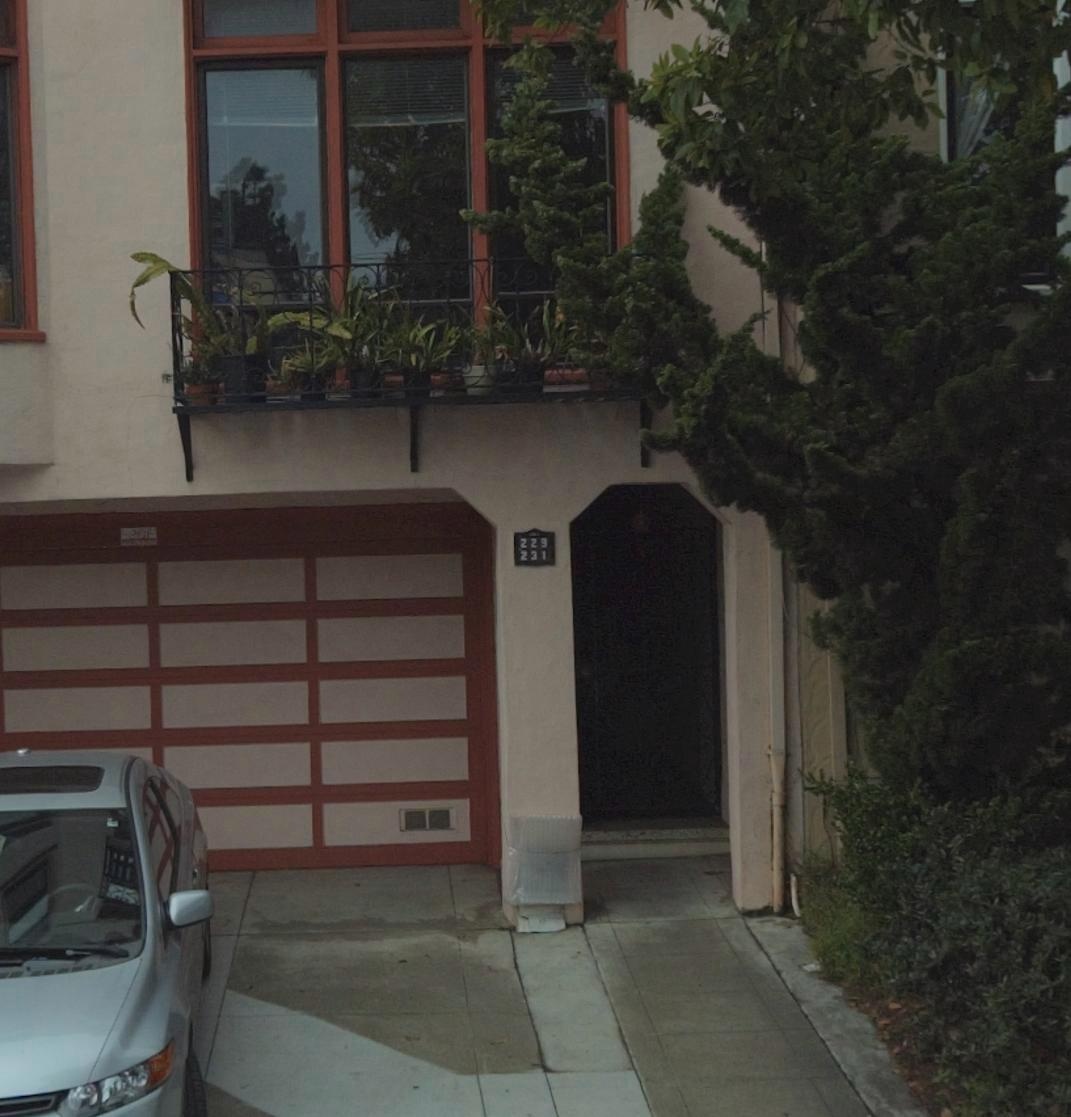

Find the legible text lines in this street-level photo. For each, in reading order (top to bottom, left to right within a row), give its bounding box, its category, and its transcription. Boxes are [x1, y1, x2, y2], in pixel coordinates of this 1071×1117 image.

[519, 536, 549, 549] StreetNumber: 229
[519, 548, 549, 562] StreetNumber: 231